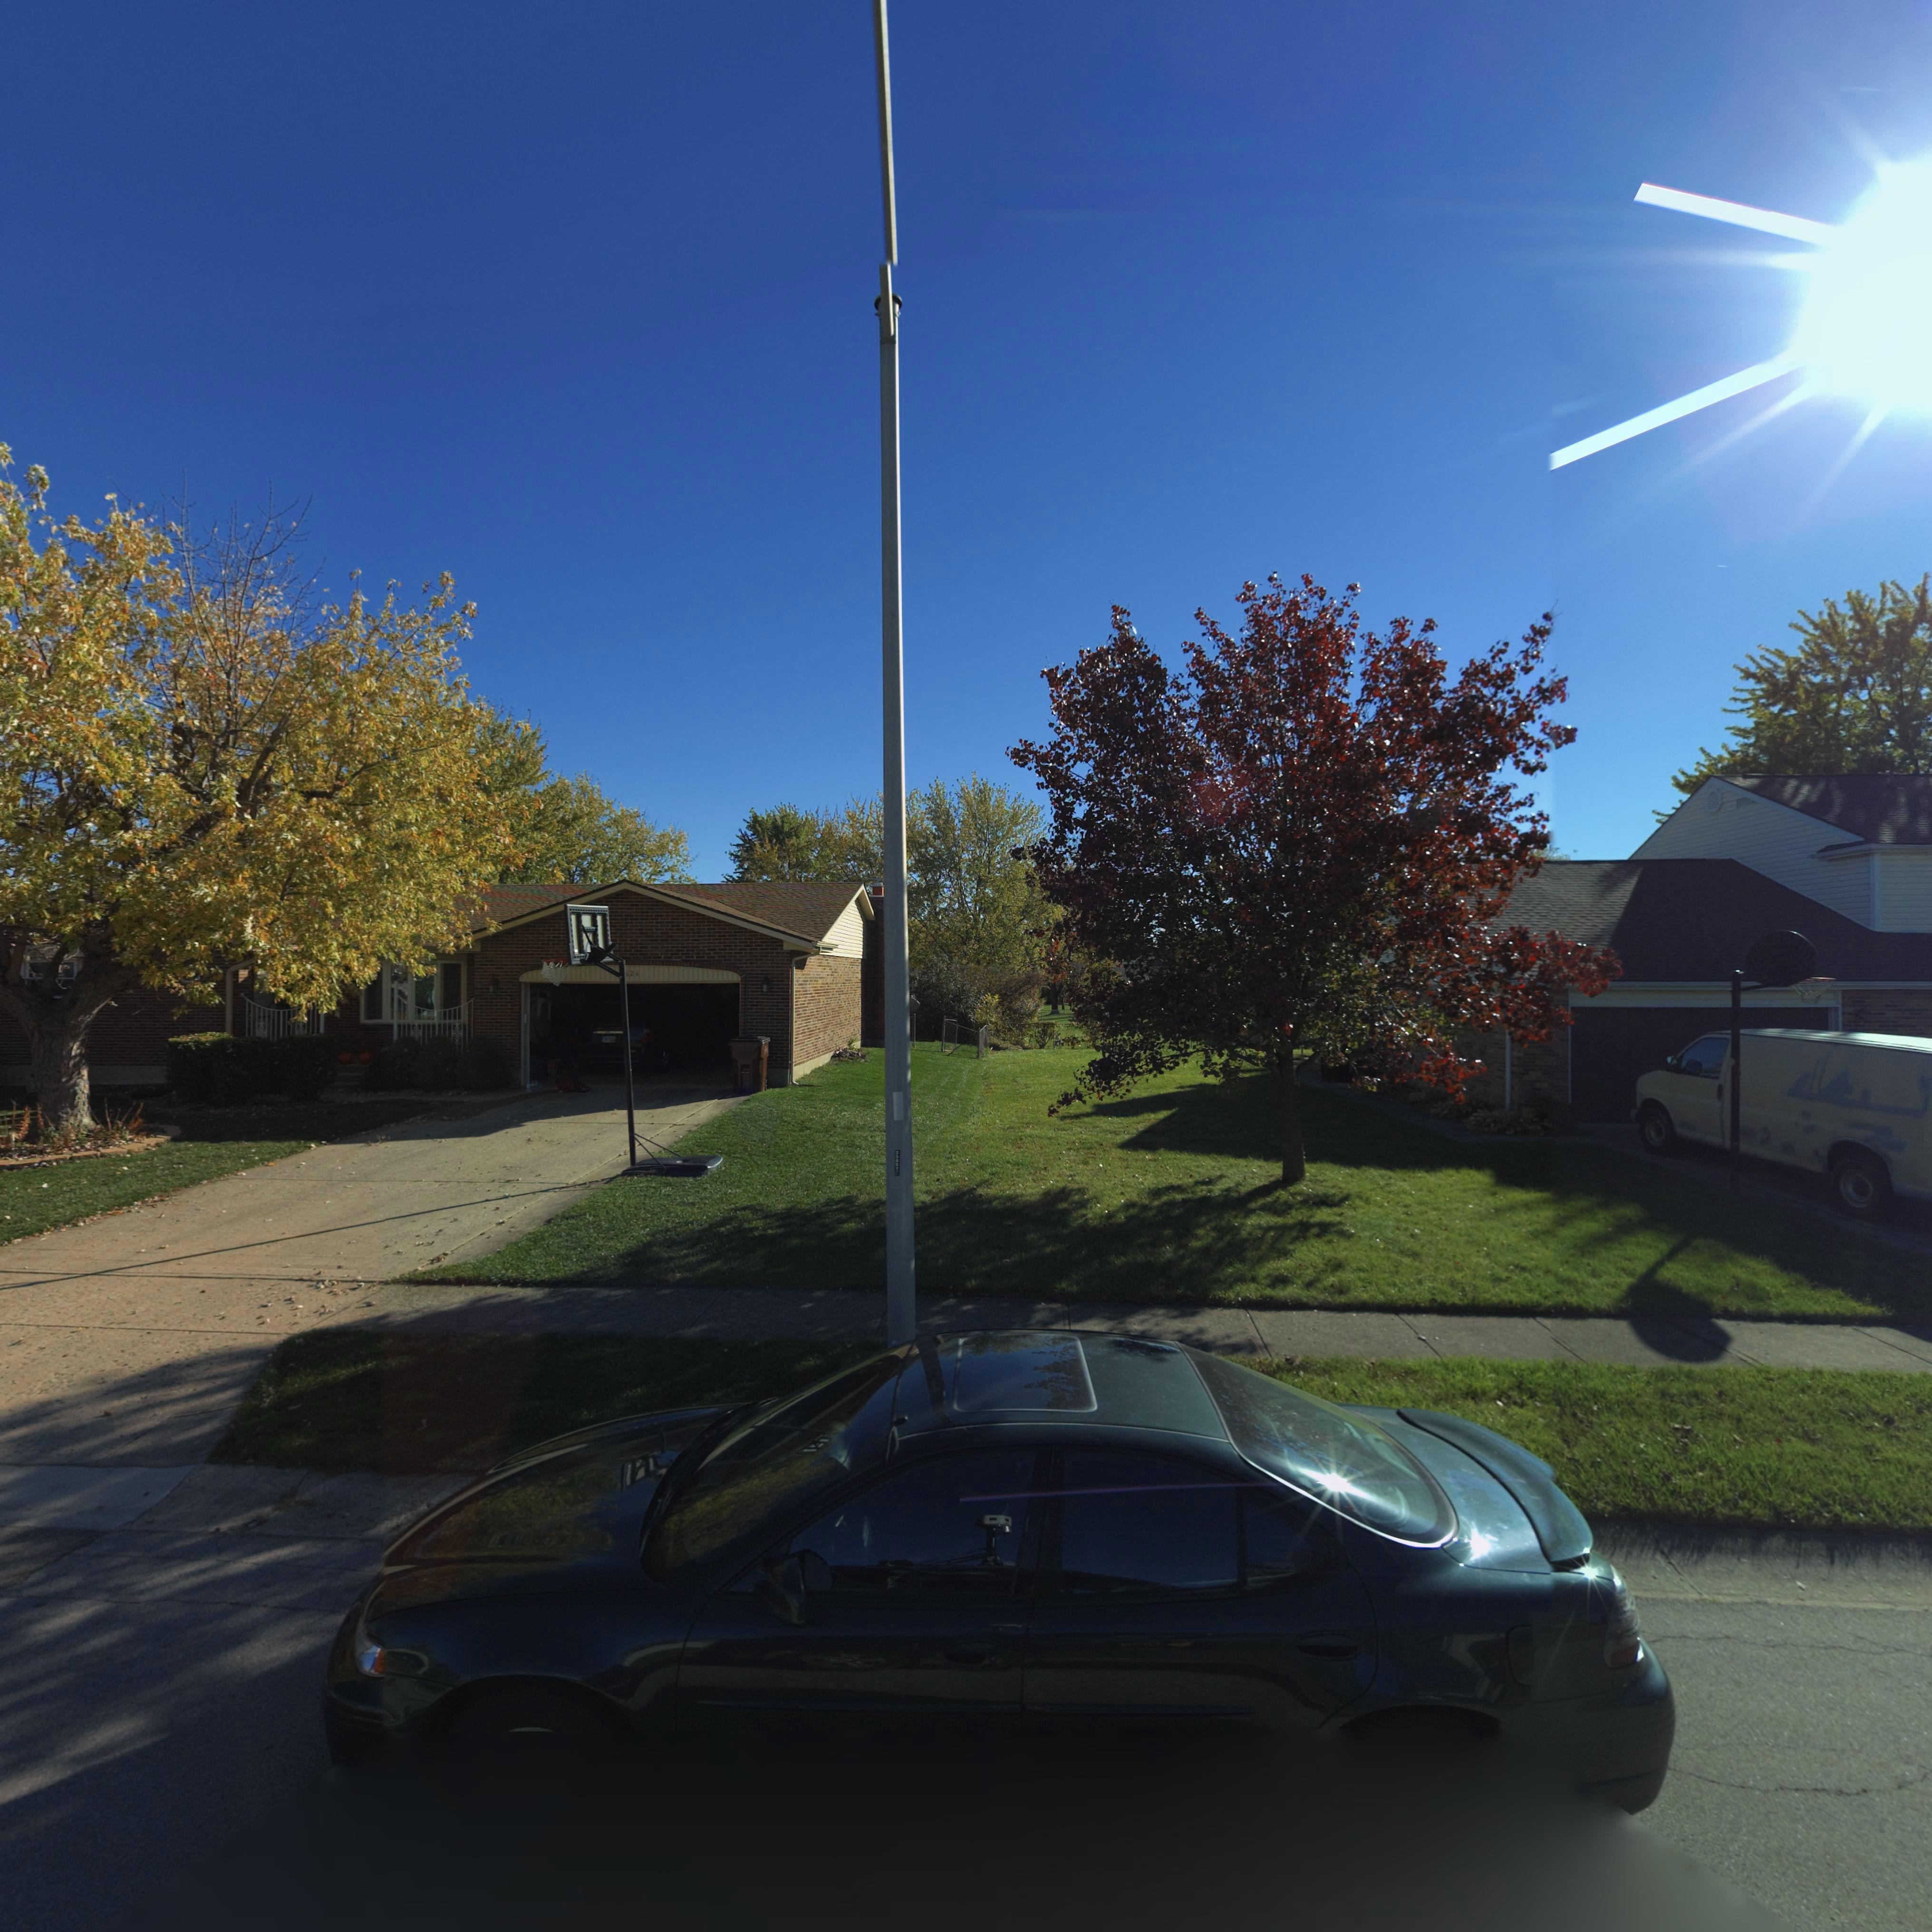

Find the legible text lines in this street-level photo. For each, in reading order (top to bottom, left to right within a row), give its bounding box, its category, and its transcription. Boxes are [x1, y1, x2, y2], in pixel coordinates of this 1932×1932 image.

[629, 970, 639, 976] StreetNumber: 34